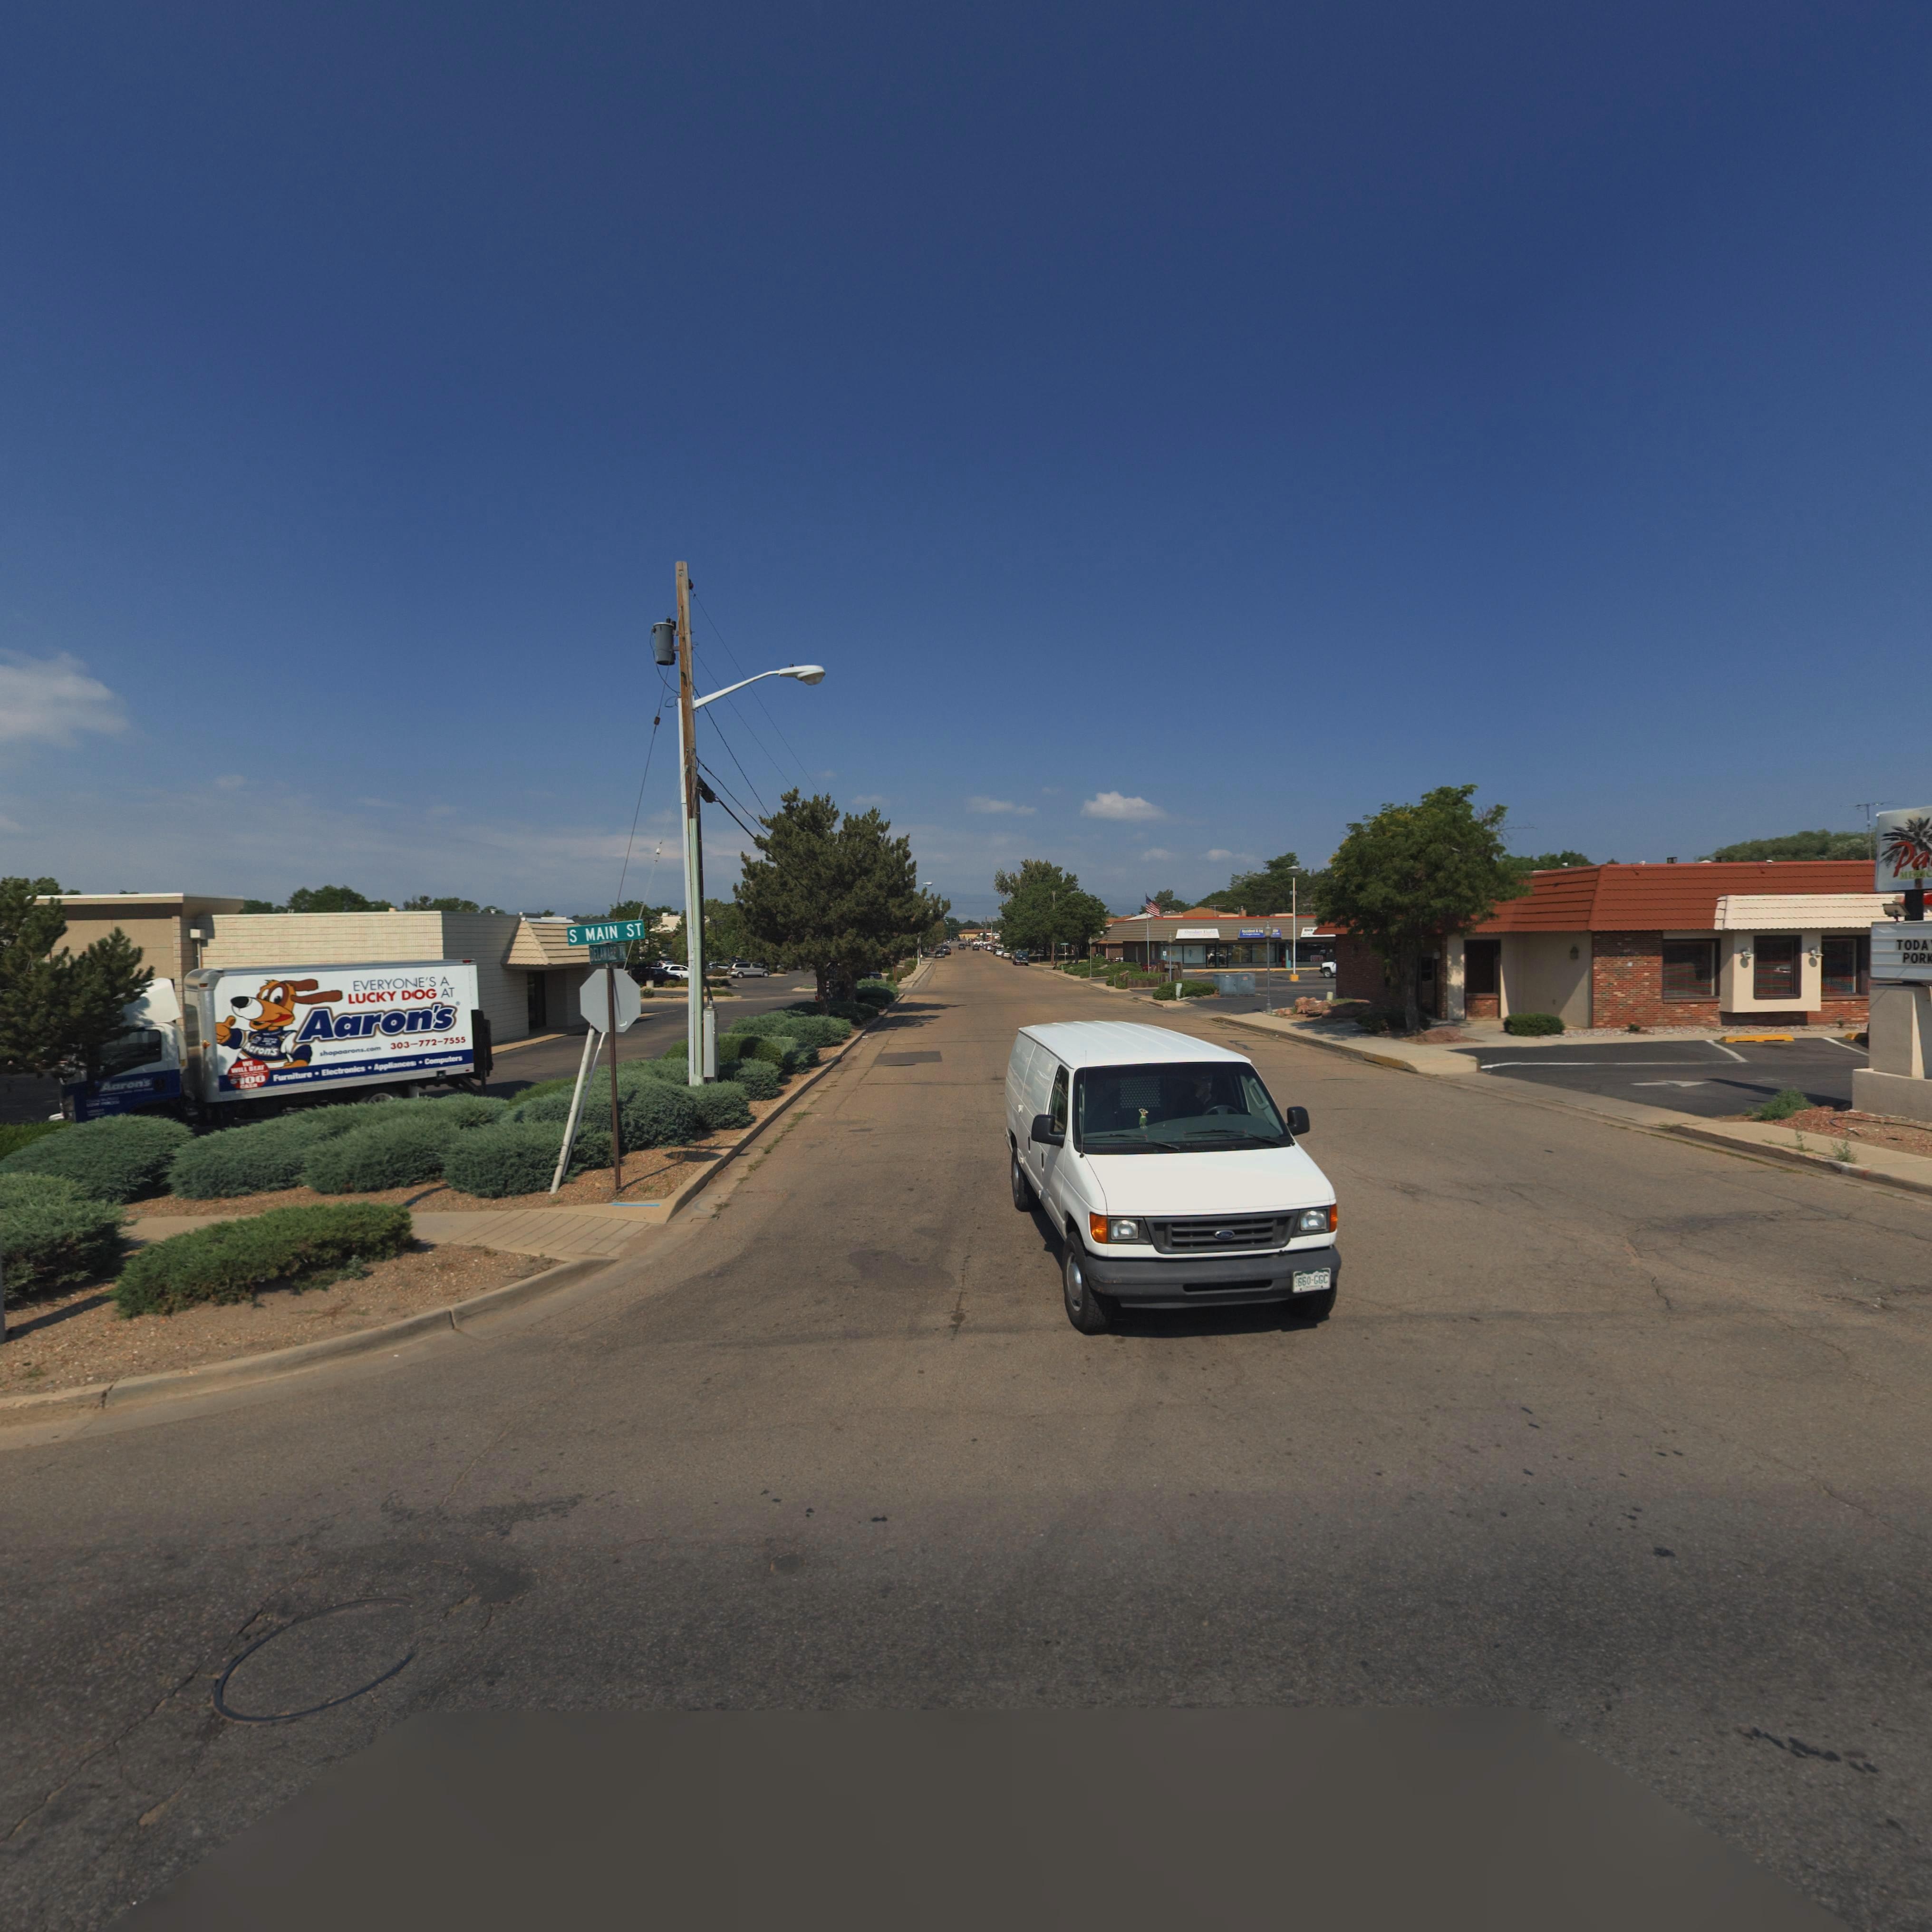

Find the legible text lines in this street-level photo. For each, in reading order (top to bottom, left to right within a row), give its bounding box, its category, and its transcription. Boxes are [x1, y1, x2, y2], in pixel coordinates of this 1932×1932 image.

[1889, 840, 1929, 877] BusinessName: Pa
[1899, 869, 1926, 880] BusinessName: MEXI
[569, 922, 642, 943] StreetName: S MAIN ST
[1241, 928, 1279, 933] BusinessName: Accident & In**** ***ter
[589, 945, 625, 962] StreetName: DELEWARE AV